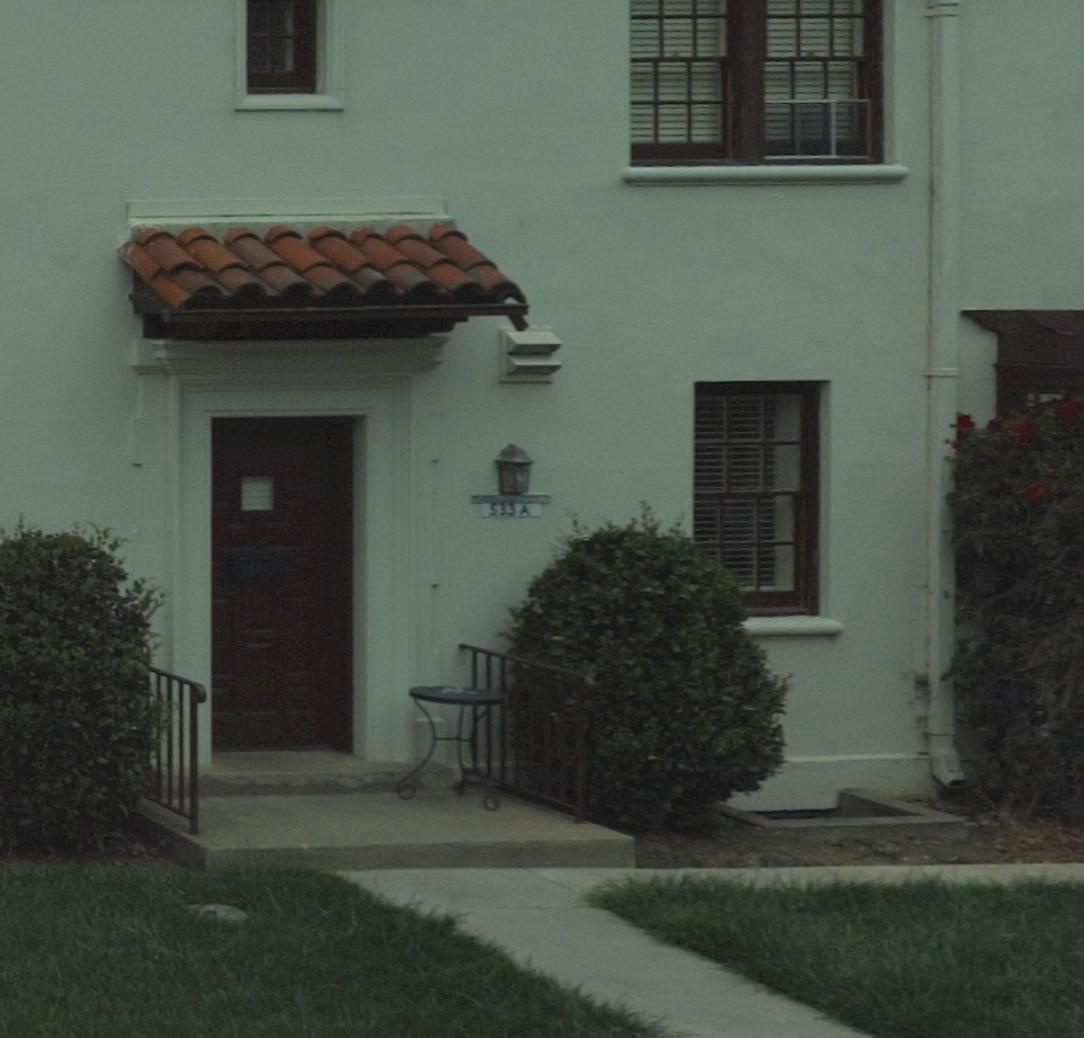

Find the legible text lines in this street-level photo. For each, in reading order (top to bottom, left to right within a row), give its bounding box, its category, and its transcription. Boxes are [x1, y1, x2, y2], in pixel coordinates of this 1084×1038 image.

[488, 501, 533, 518] StreetNumber: 533 A